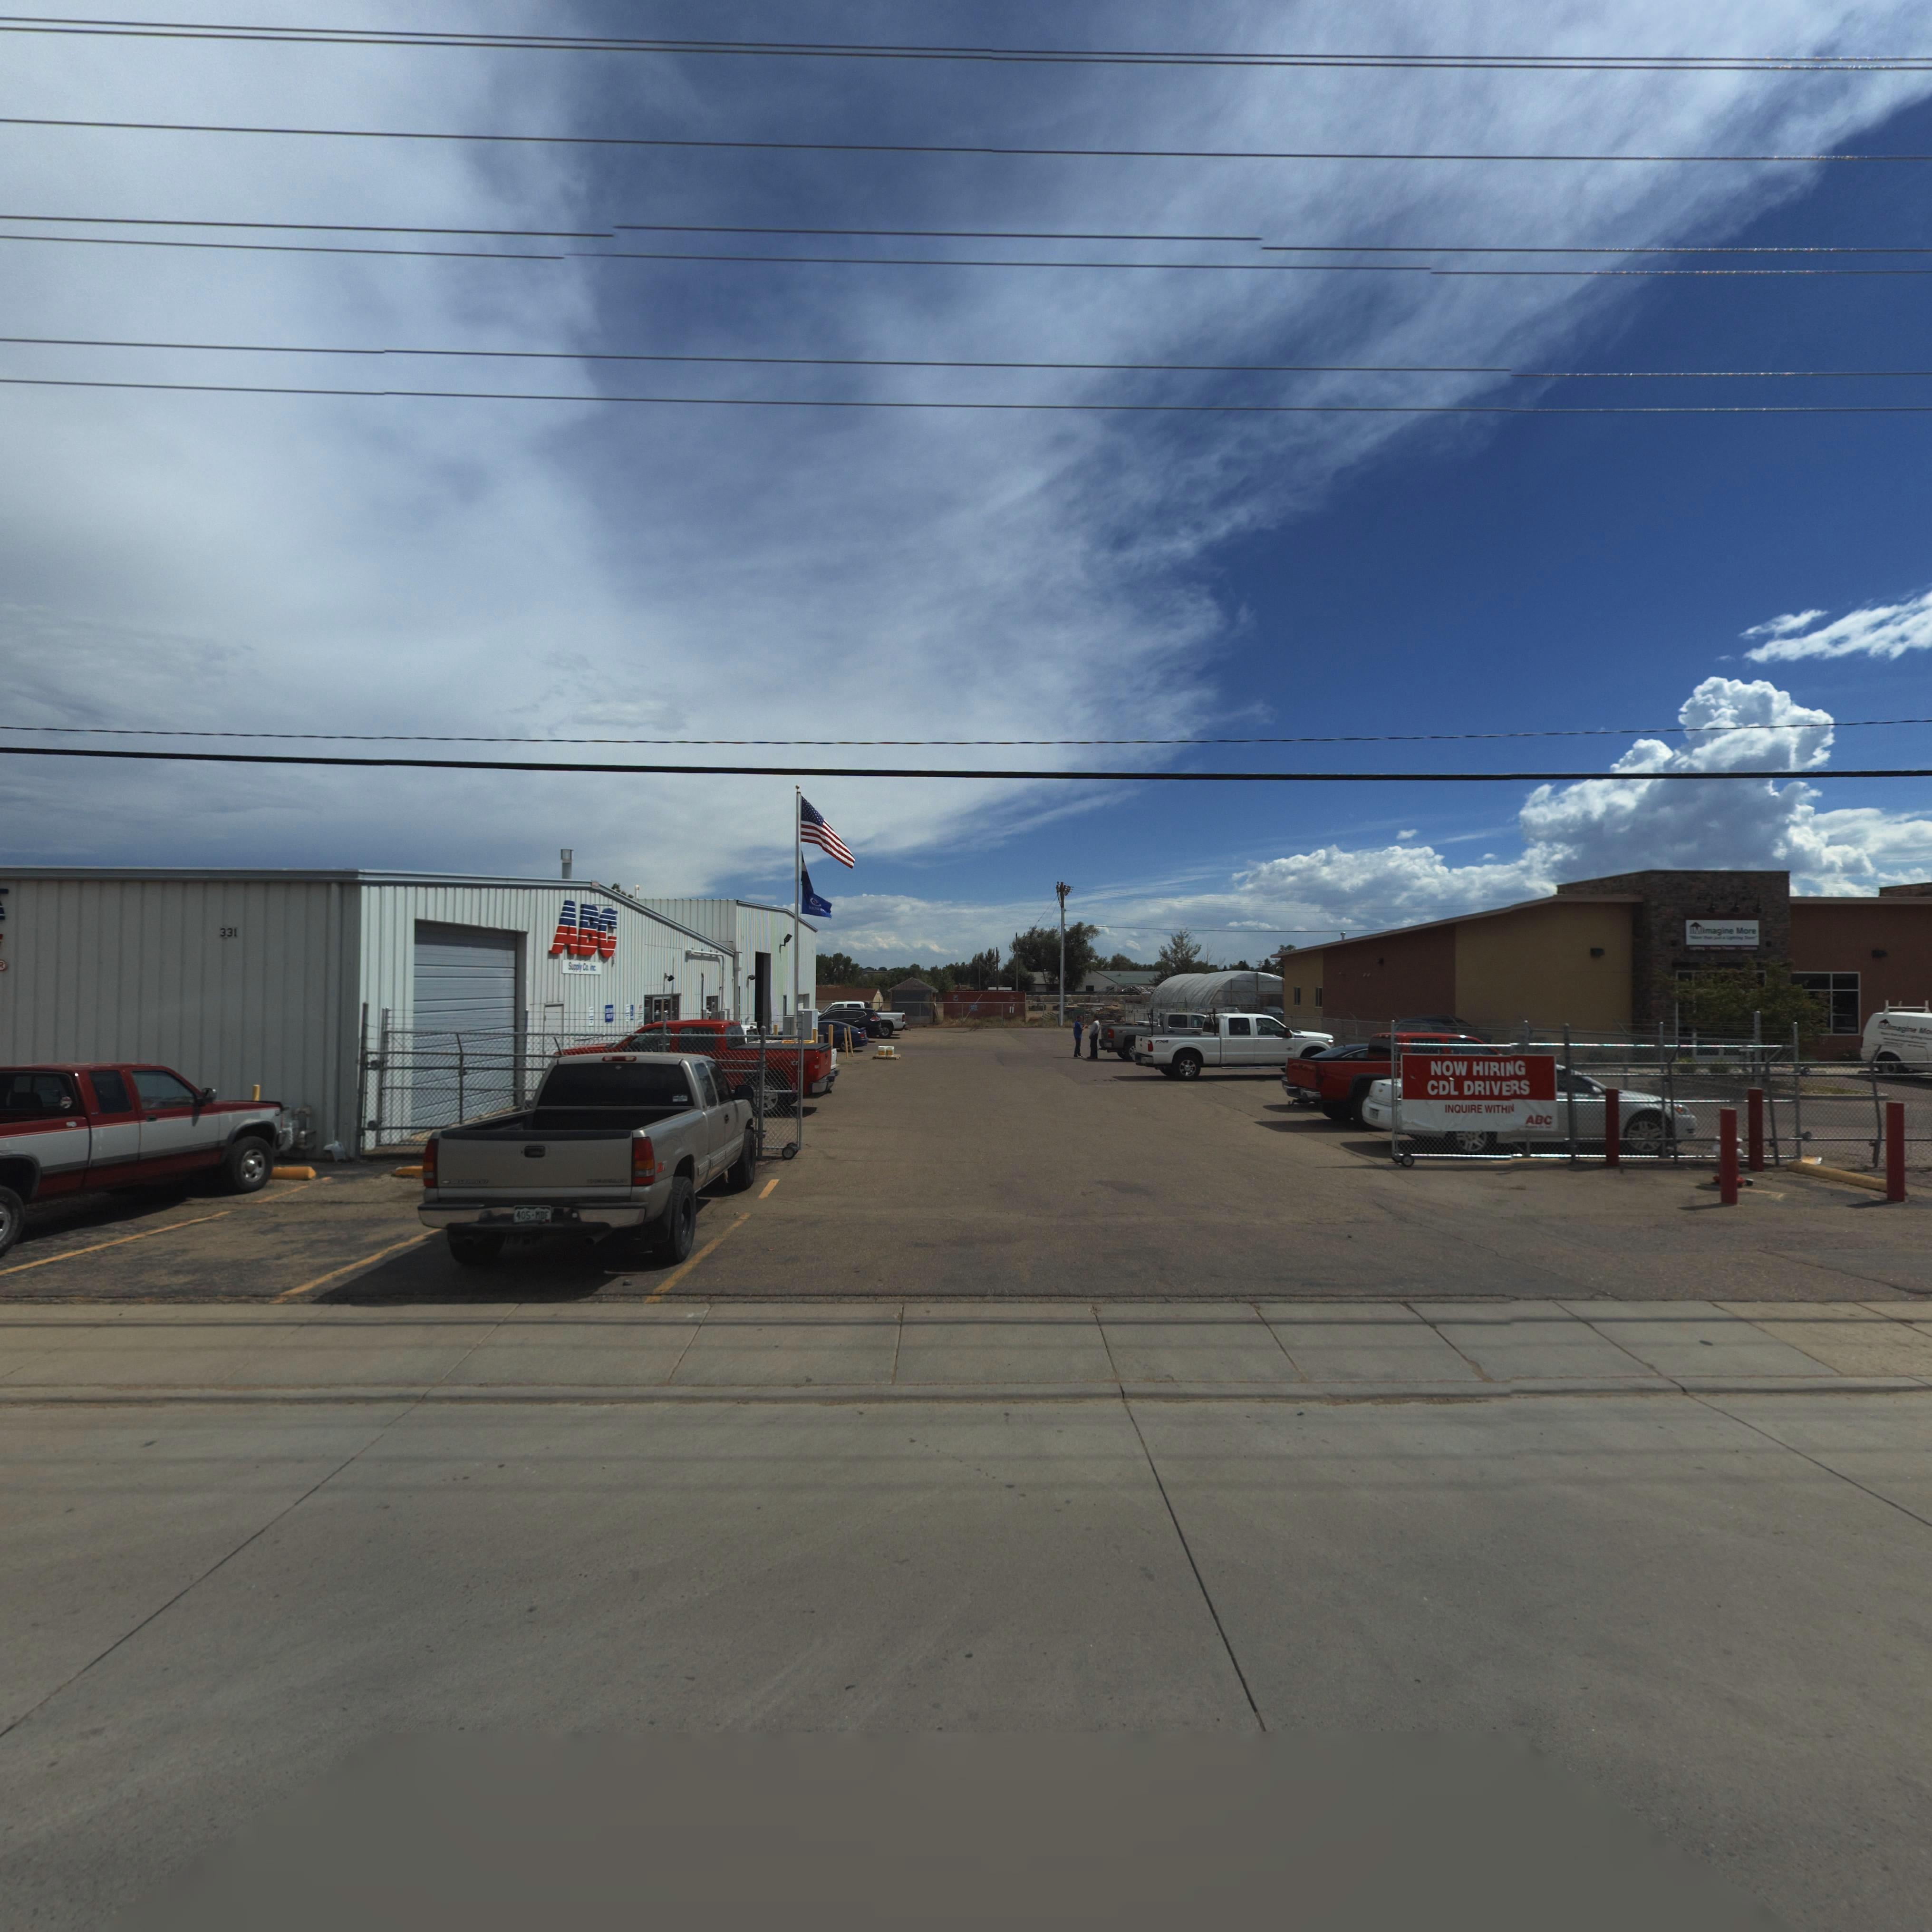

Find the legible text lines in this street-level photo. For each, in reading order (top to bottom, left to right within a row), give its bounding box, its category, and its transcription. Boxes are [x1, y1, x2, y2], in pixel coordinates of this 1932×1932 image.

[219, 927, 238, 937] StreetNumber: 331
[550, 899, 618, 958] BusinessName: ABC
[1690, 926, 1701, 934] BusinessName: IM
[1702, 927, 1756, 936] BusinessName: Imagine More
[568, 961, 596, 973] BusinessName: Supply Co. inc
[1524, 1114, 1552, 1125] BusinessName: ABC